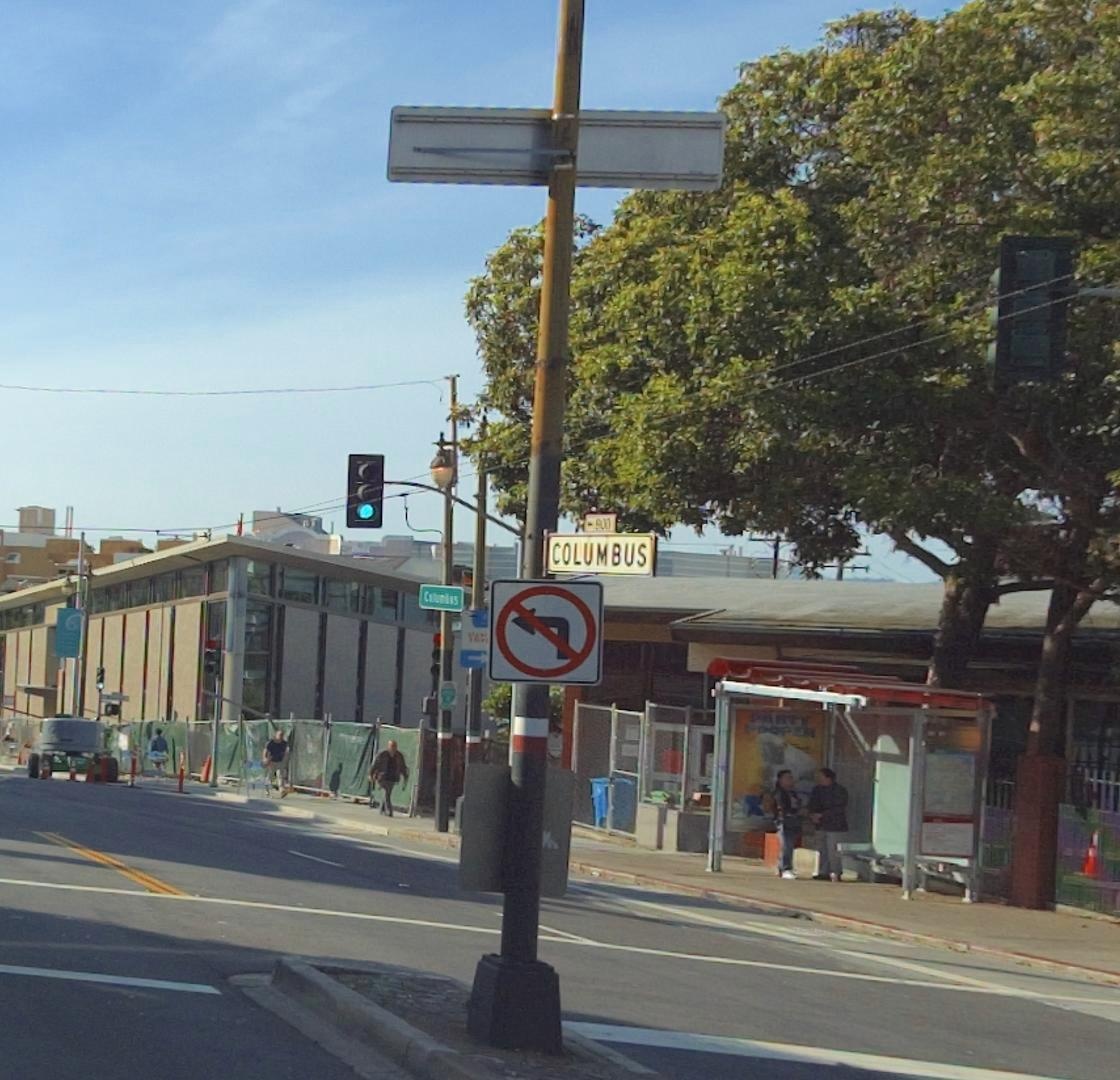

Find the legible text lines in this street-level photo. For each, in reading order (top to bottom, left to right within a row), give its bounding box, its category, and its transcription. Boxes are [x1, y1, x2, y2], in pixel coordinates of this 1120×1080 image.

[585, 515, 613, 533] StreetNumberRange: <-900
[550, 539, 649, 570] StreetName: COLUMBUS
[421, 588, 430, 604] StreetName: C